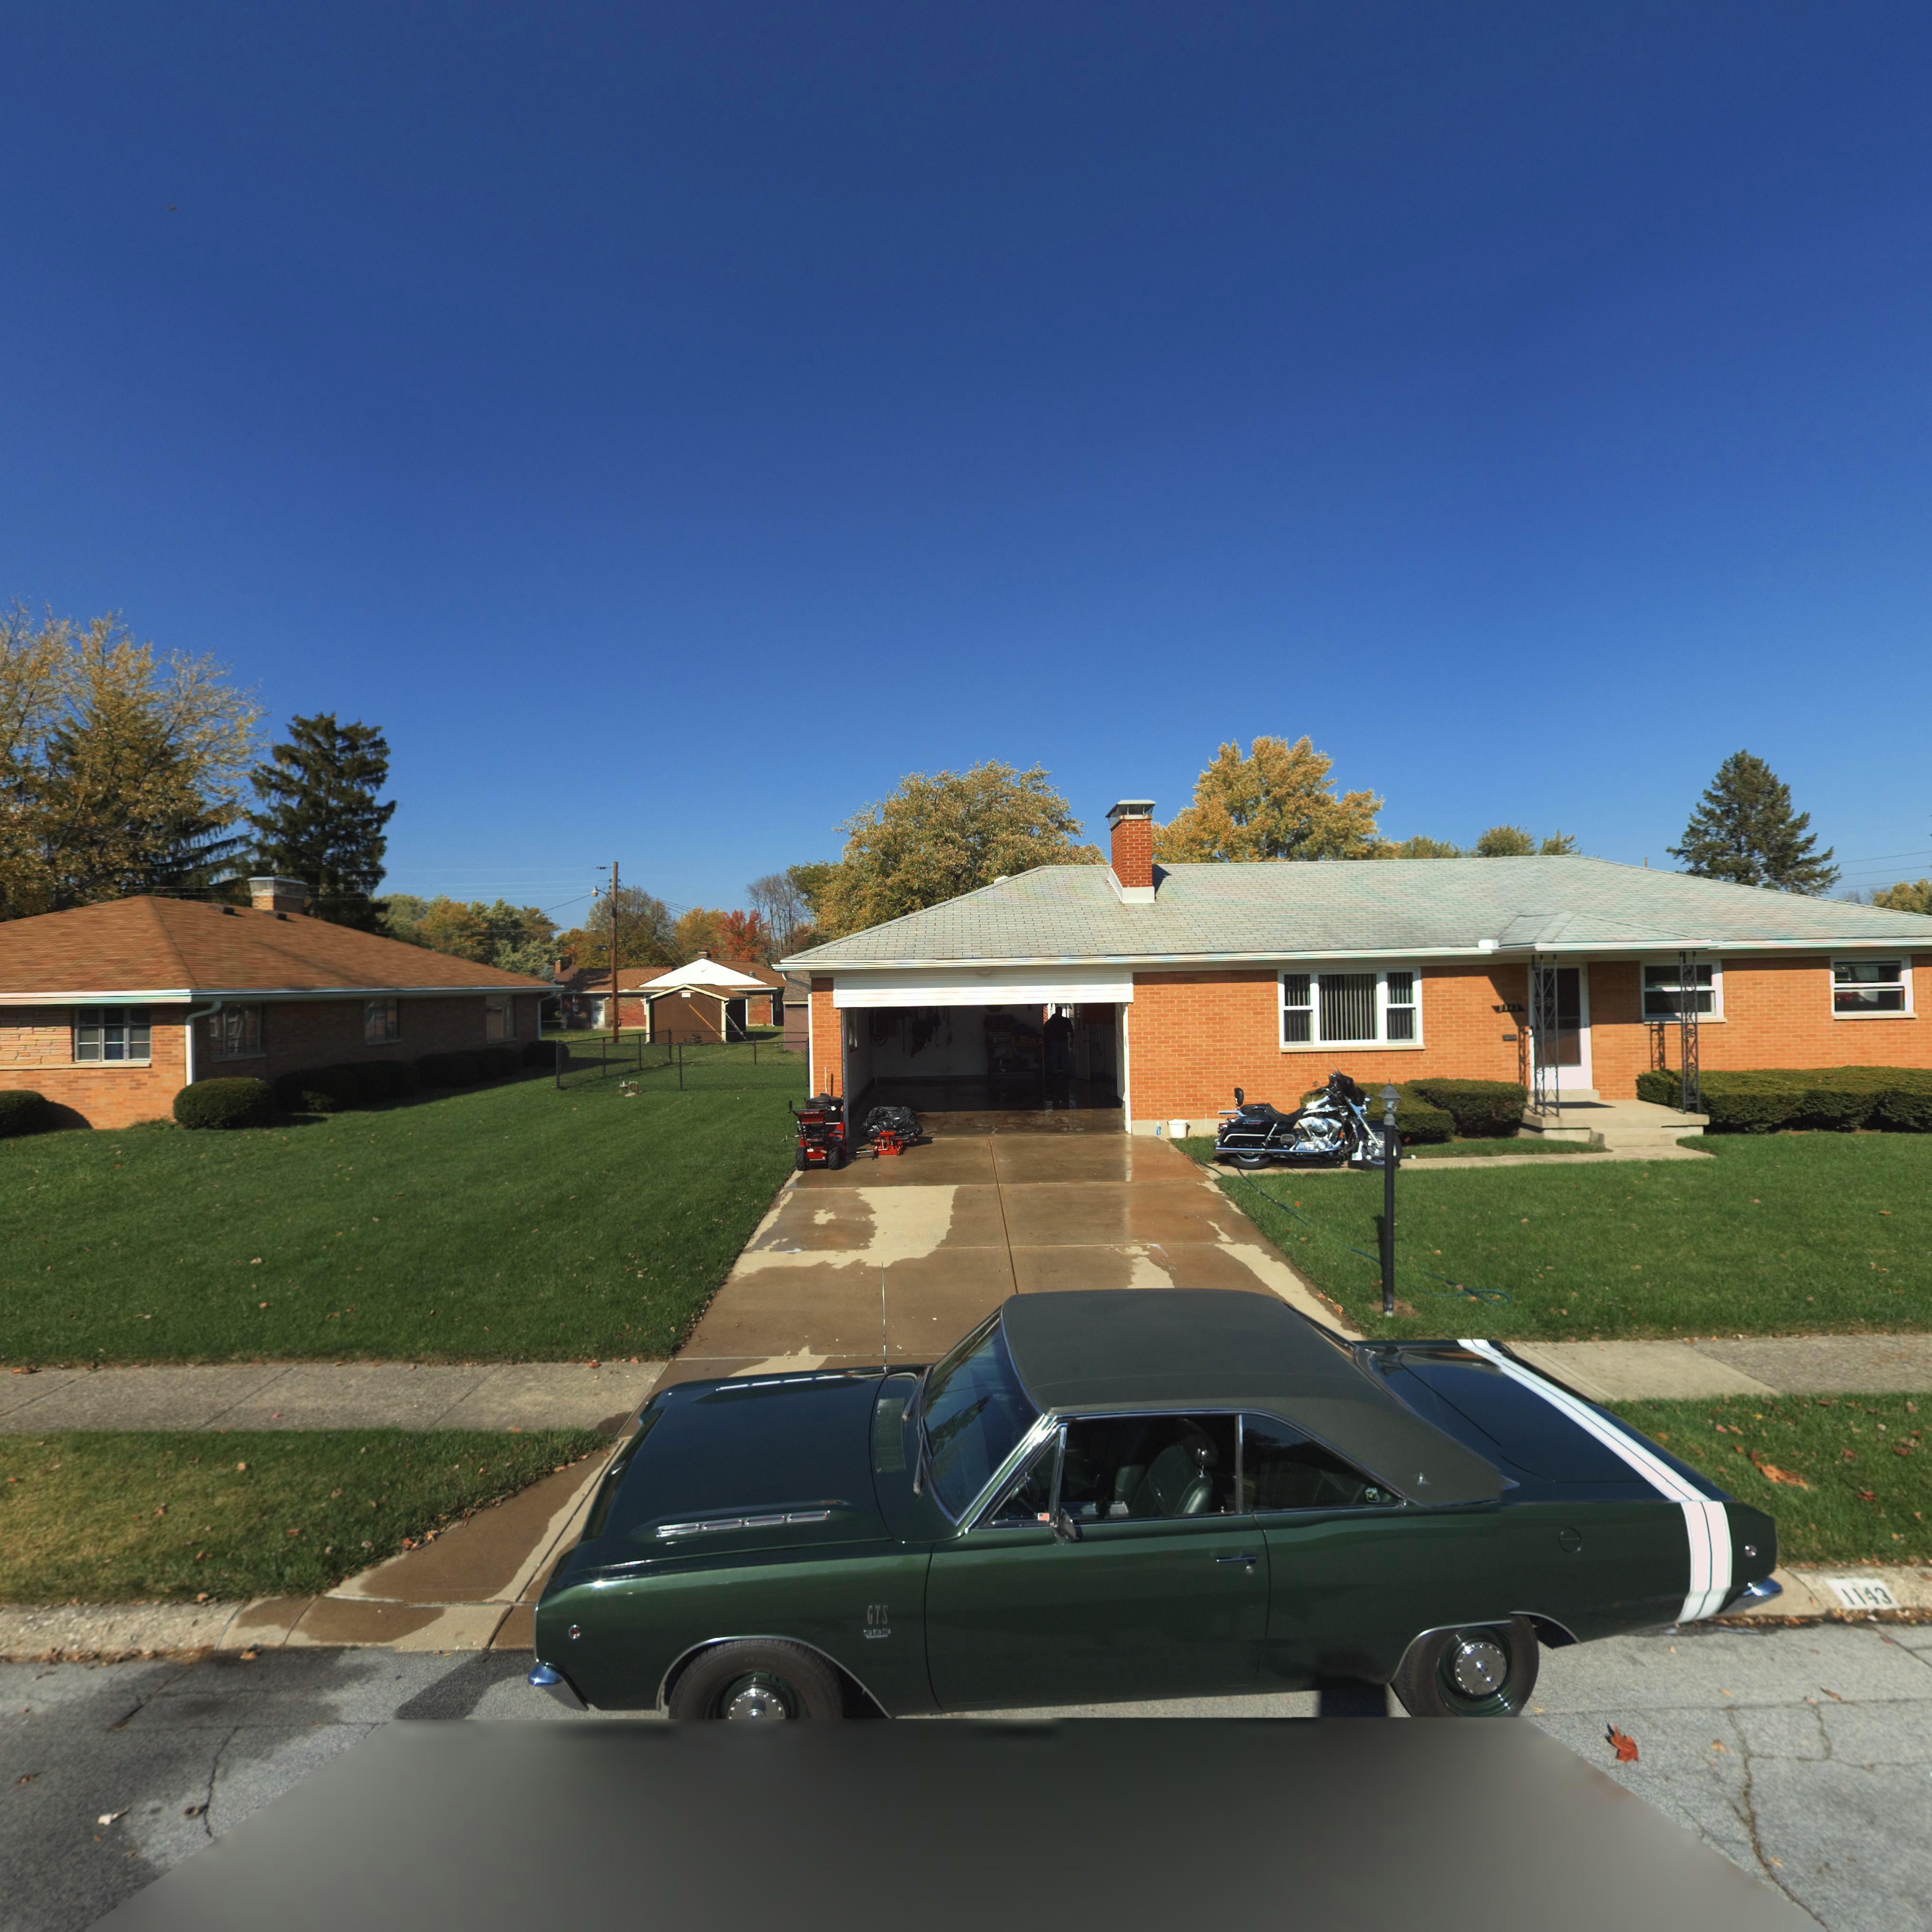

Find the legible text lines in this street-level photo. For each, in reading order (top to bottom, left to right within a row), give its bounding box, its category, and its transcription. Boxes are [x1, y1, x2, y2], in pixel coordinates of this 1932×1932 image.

[1503, 1003, 1520, 1012] StreetNumber: 143
[1836, 1584, 1896, 1609] StreetNumber: 1143